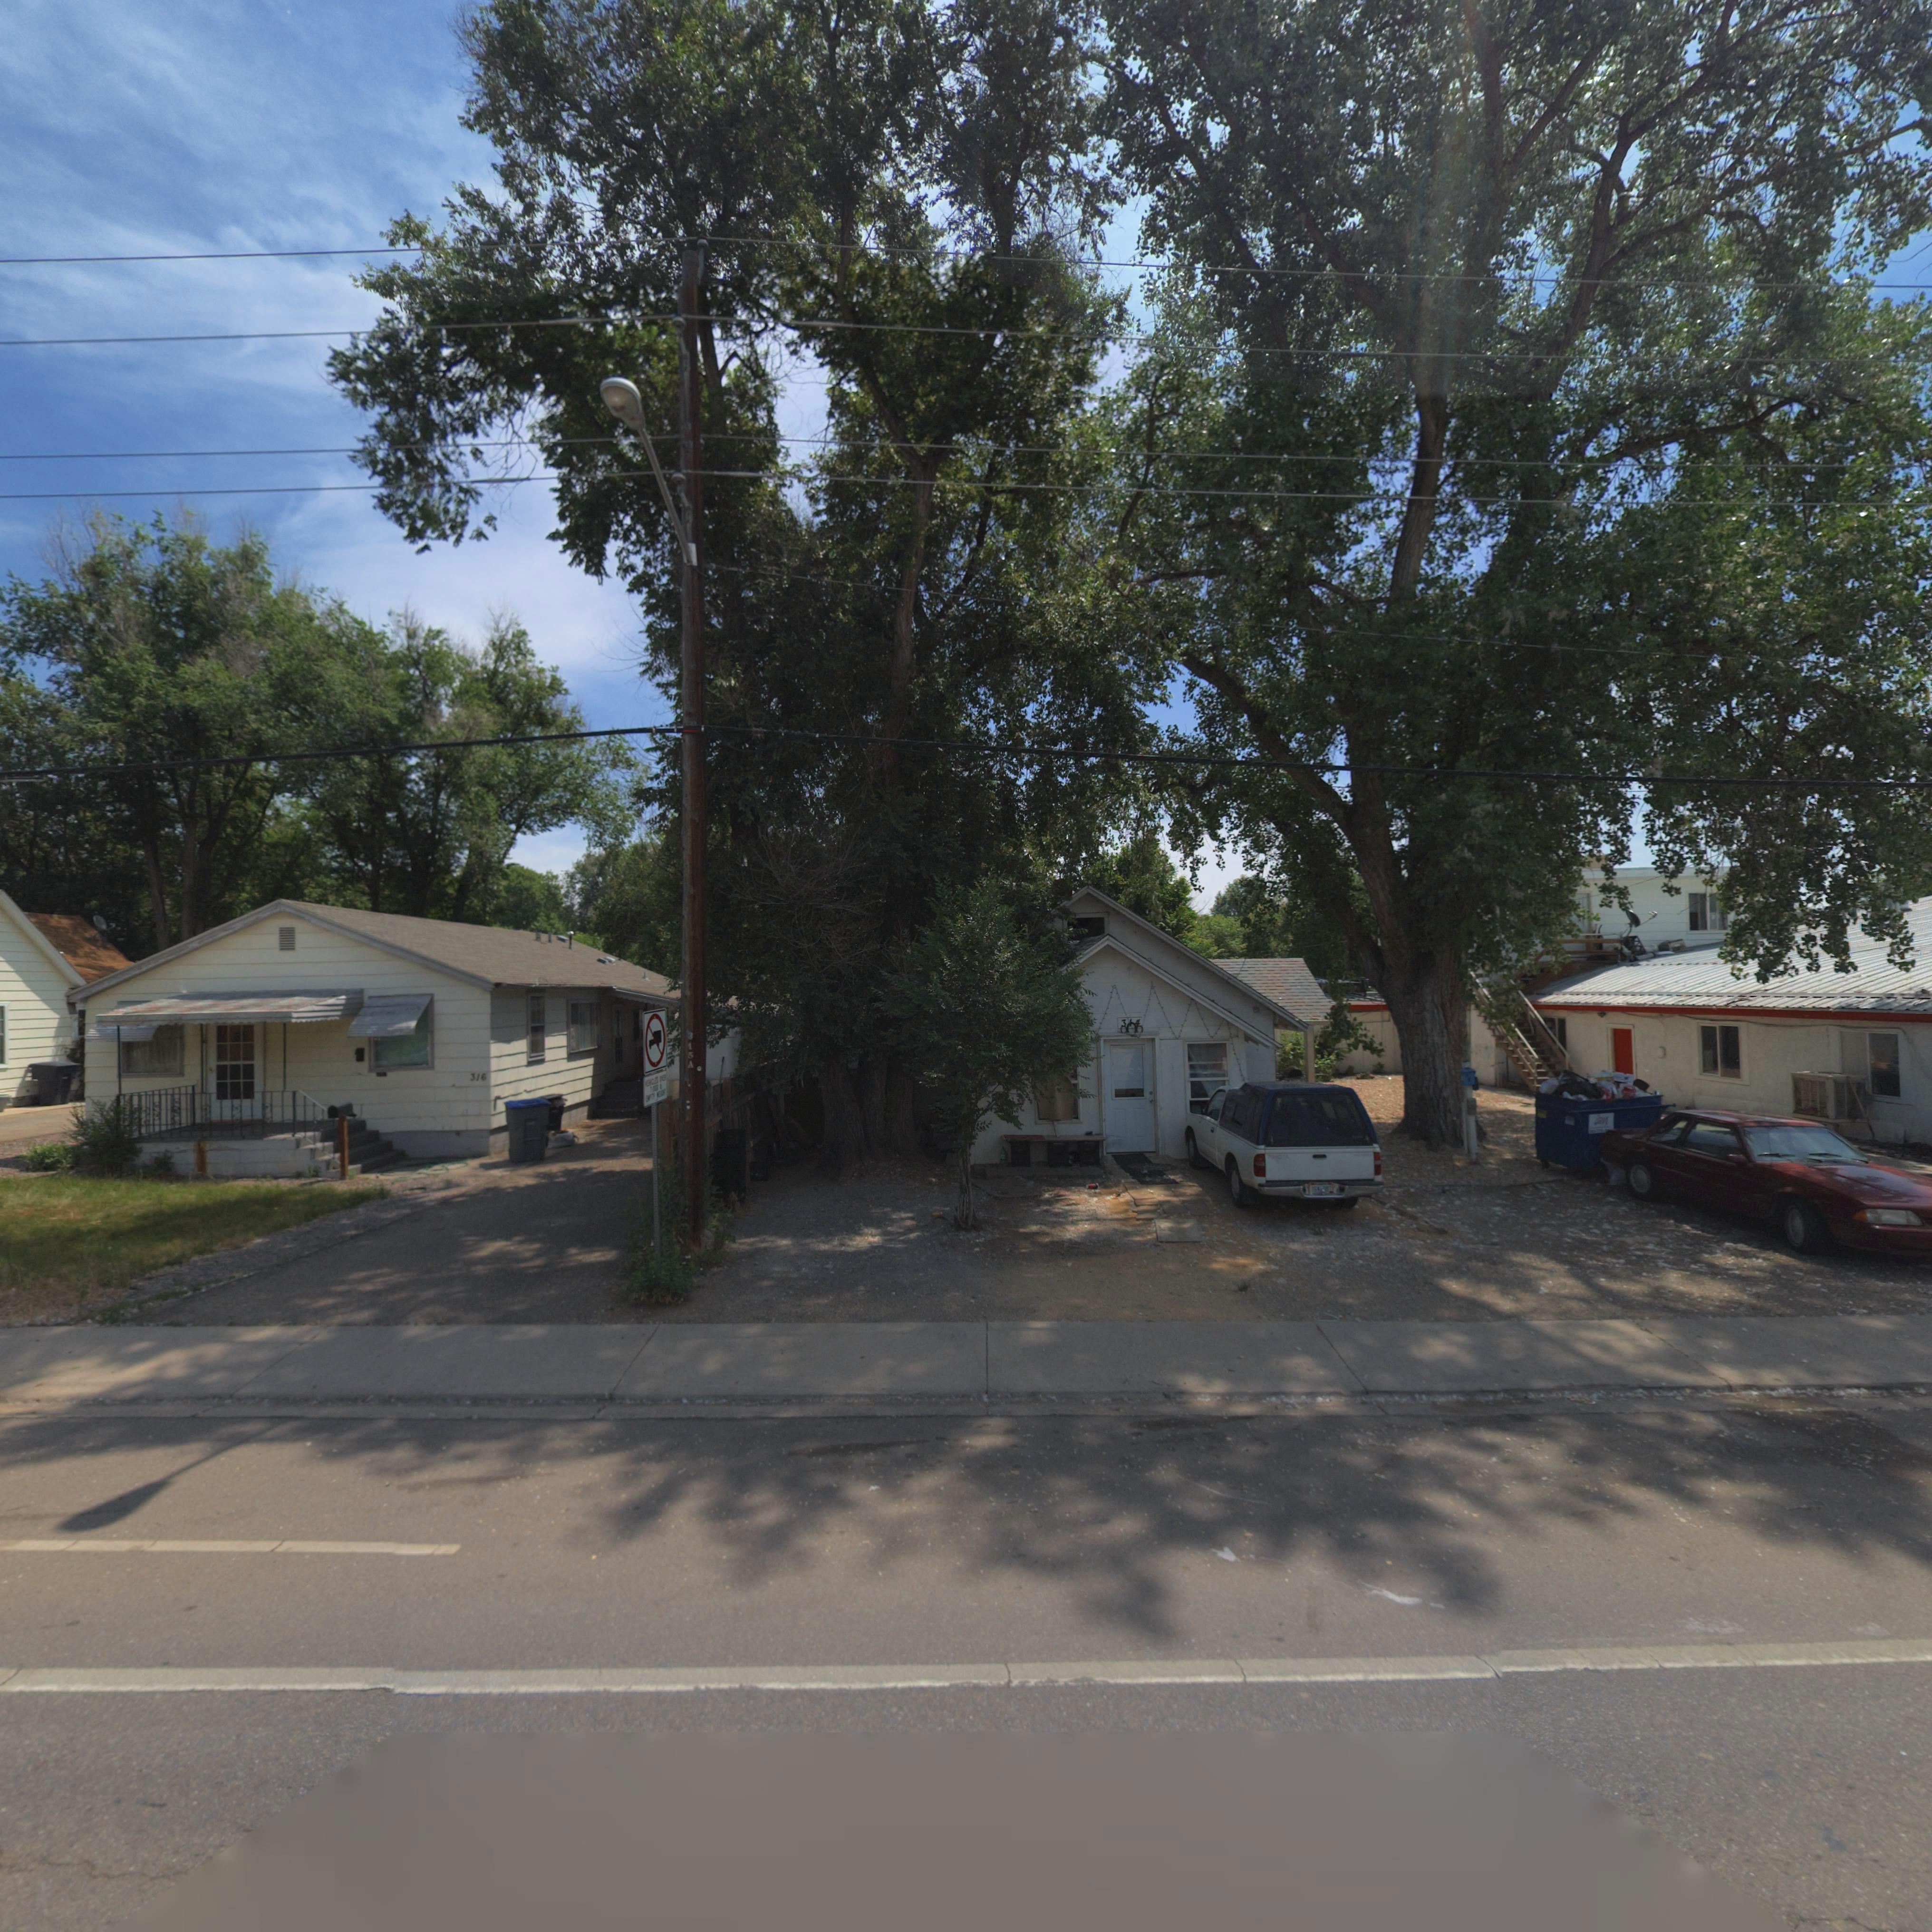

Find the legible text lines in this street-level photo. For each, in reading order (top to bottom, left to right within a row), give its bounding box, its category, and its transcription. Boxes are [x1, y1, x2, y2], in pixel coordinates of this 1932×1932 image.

[1121, 1018, 1140, 1027] StreetNumber: 3*4
[469, 1073, 487, 1081] StreetNumber: 316